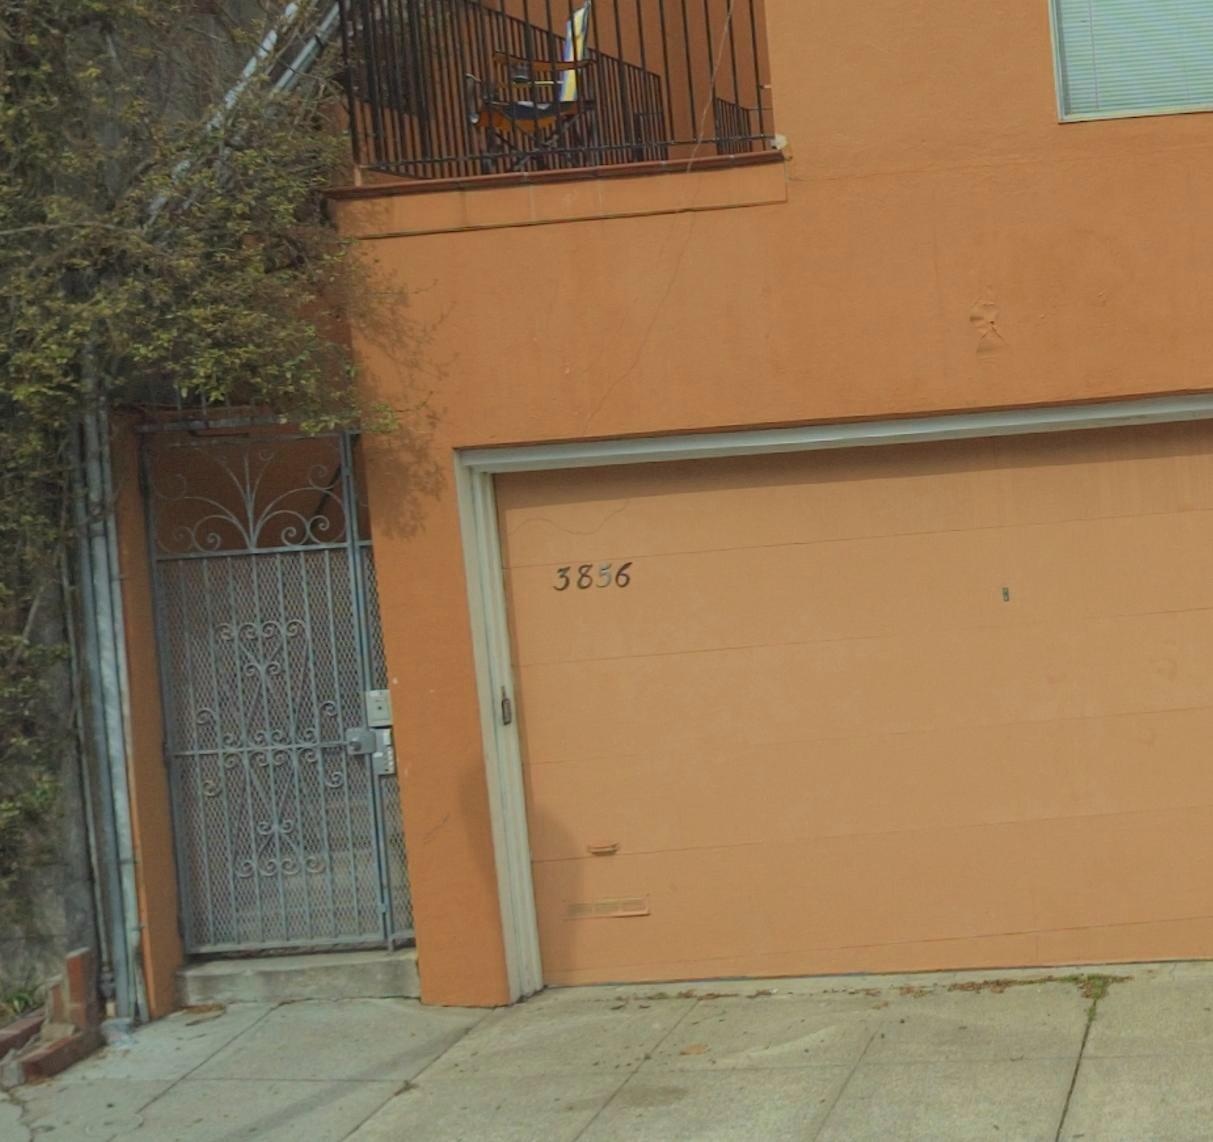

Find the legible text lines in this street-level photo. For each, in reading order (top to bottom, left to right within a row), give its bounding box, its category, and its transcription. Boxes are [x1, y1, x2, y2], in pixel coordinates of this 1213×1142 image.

[549, 560, 635, 594] StreetNumber: 3856